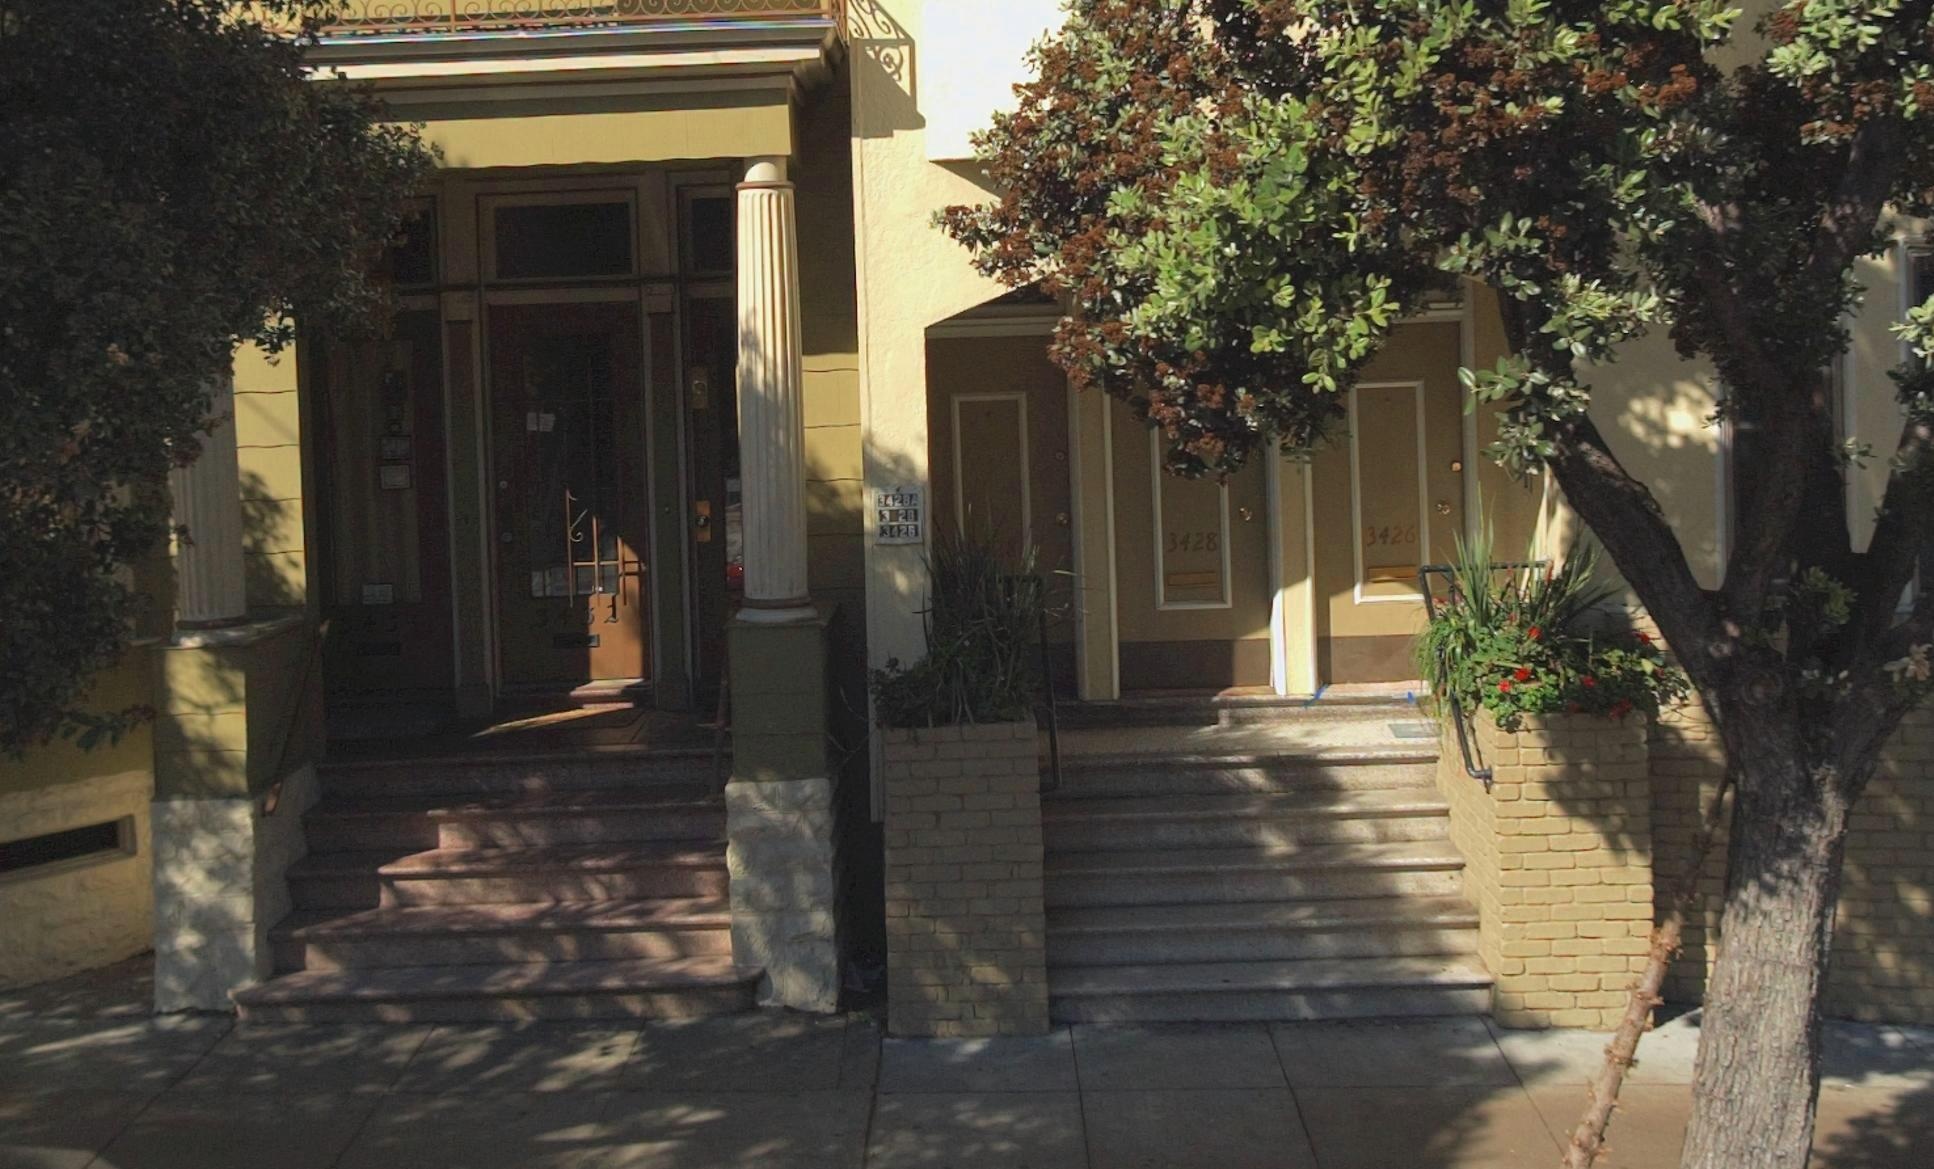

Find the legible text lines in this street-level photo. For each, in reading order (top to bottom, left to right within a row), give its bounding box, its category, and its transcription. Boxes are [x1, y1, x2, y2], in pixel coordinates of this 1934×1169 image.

[878, 493, 919, 507] StreetNumber: 3428A
[880, 508, 917, 523] StreetNumber: 3 28
[881, 524, 918, 538] StreetNumber: 3426
[1164, 530, 1219, 554] StreetNumber: 3428
[1363, 523, 1418, 549] StreetNumber: 3426
[336, 612, 421, 635] StreetNumber: 3434
[533, 604, 622, 629] StreetNumber: 343*